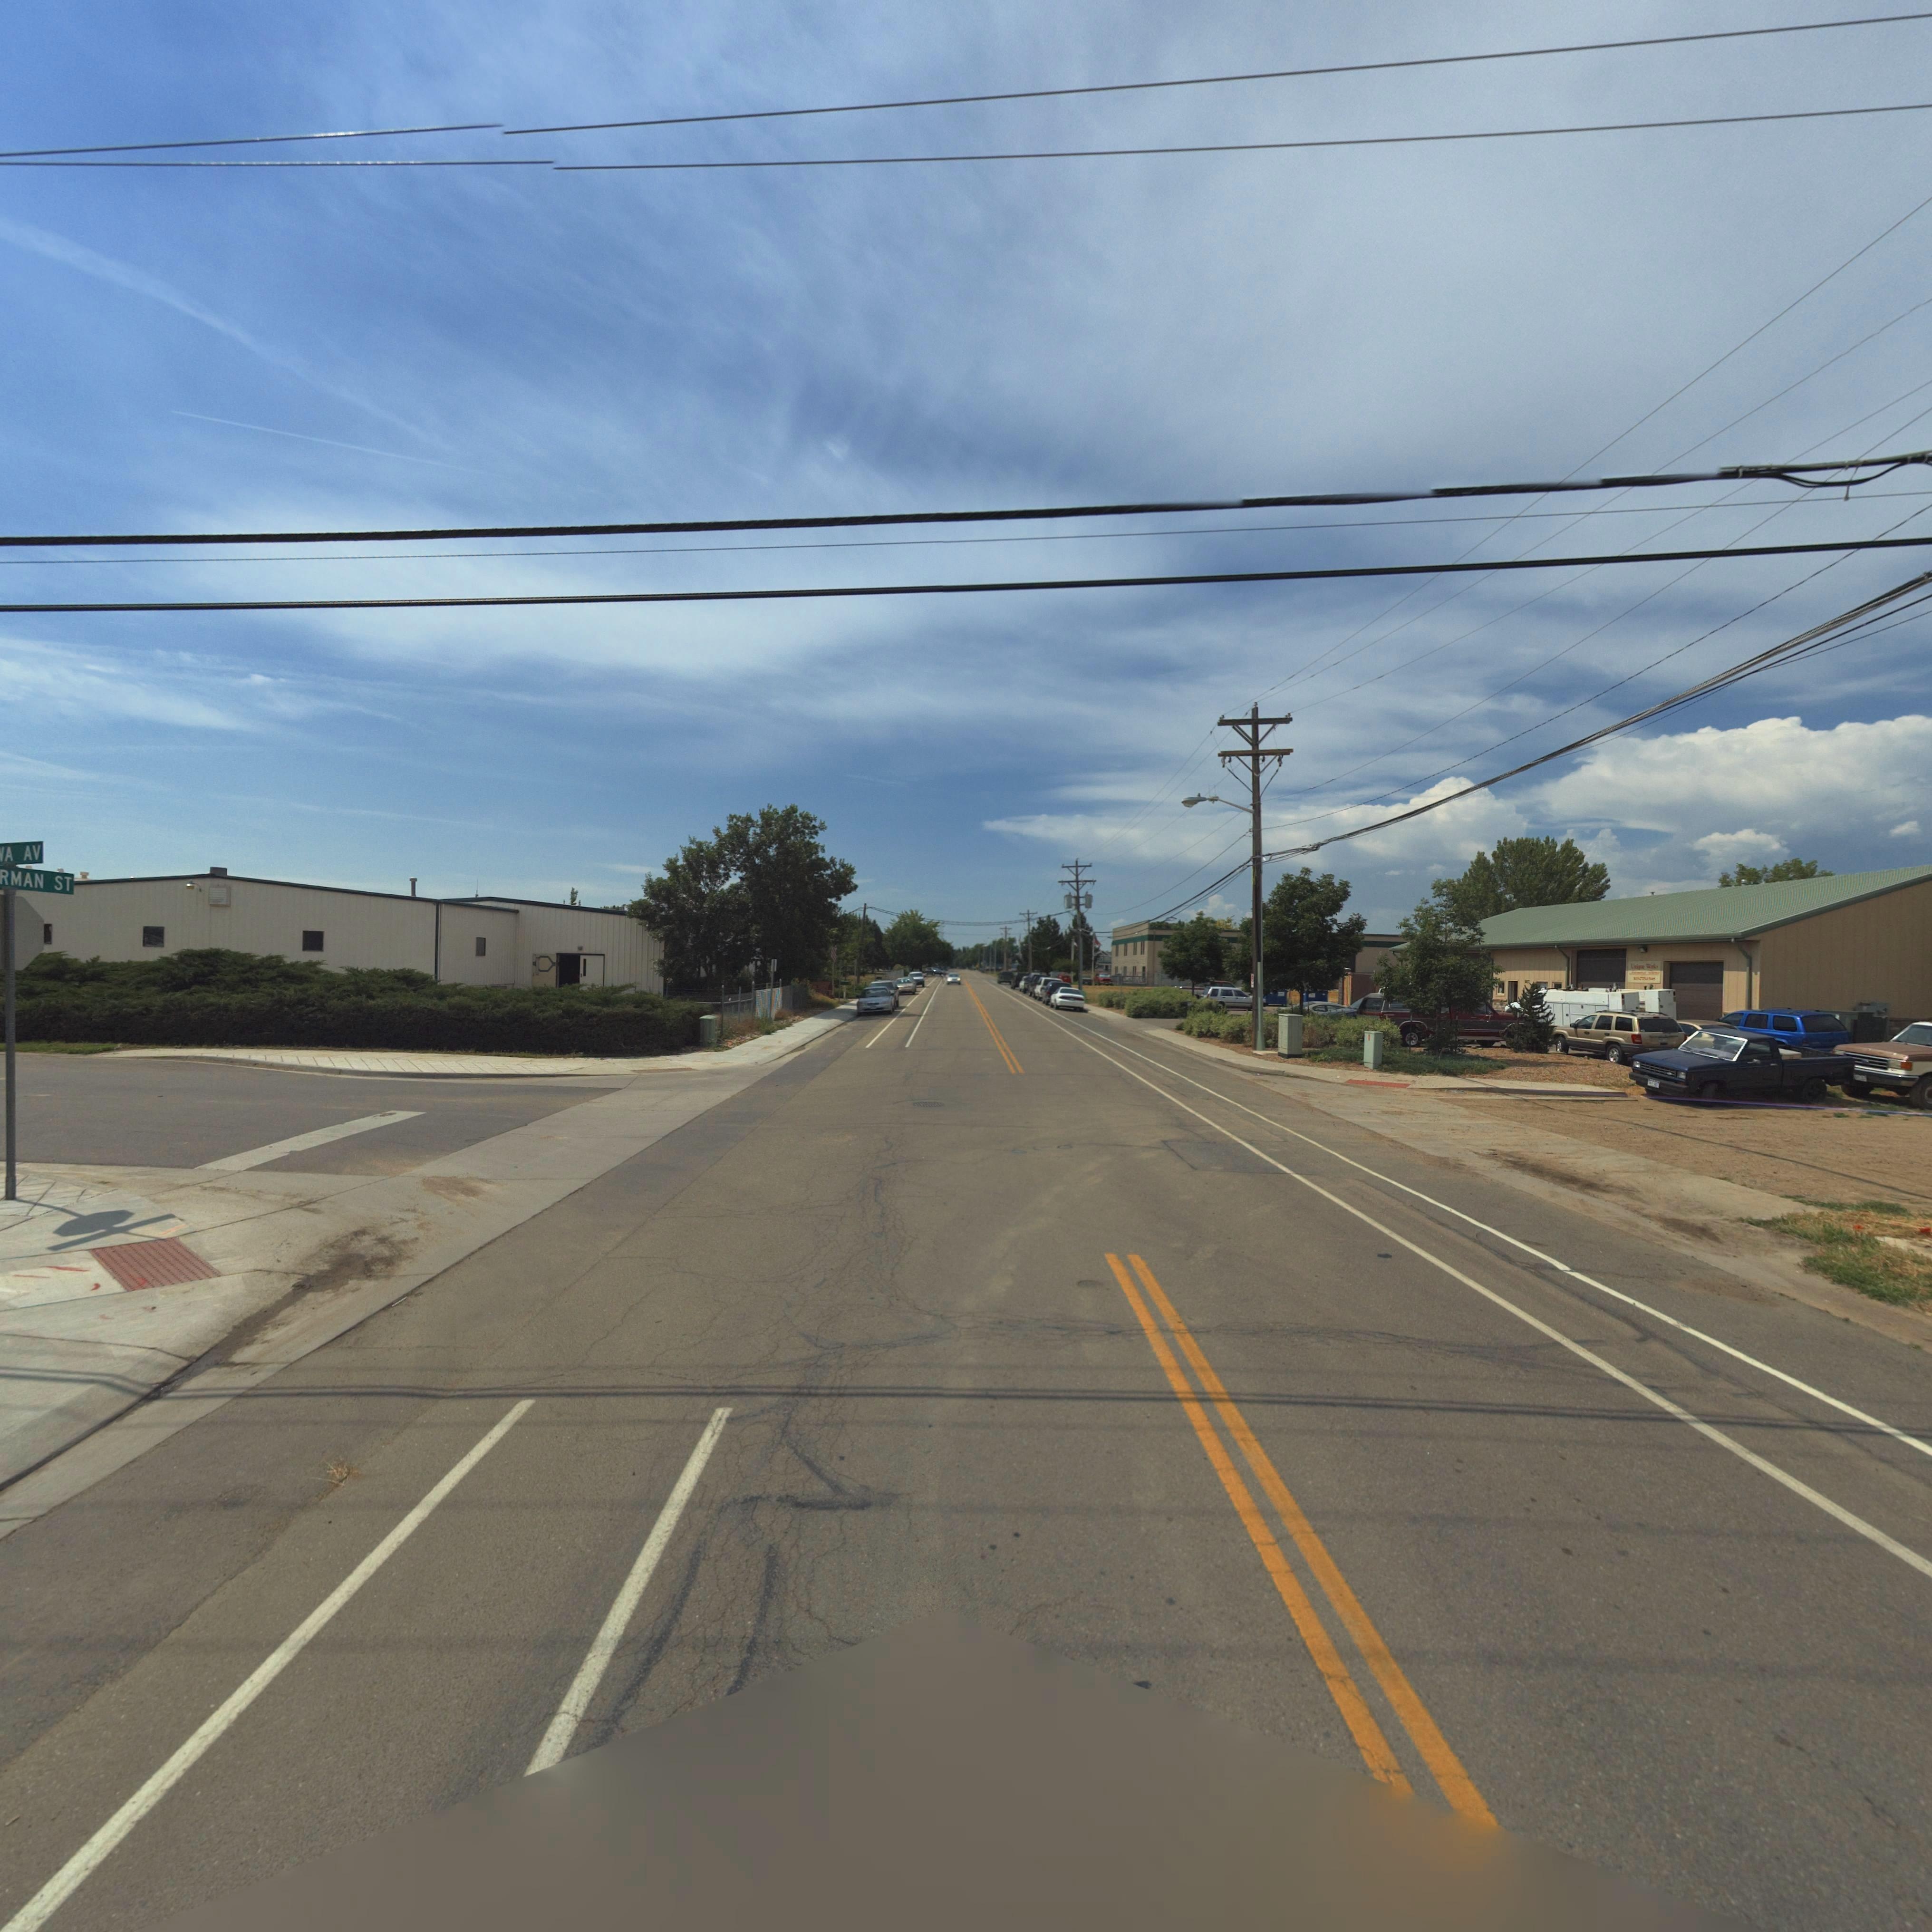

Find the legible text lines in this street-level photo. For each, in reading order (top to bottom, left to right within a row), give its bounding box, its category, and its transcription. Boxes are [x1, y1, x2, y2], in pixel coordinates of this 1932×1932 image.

[3, 844, 42, 862] StreetName: A AV
[0, 868, 73, 892] StreetName: RMAN ST
[1631, 962, 1658, 970] BusinessName: U**que Works